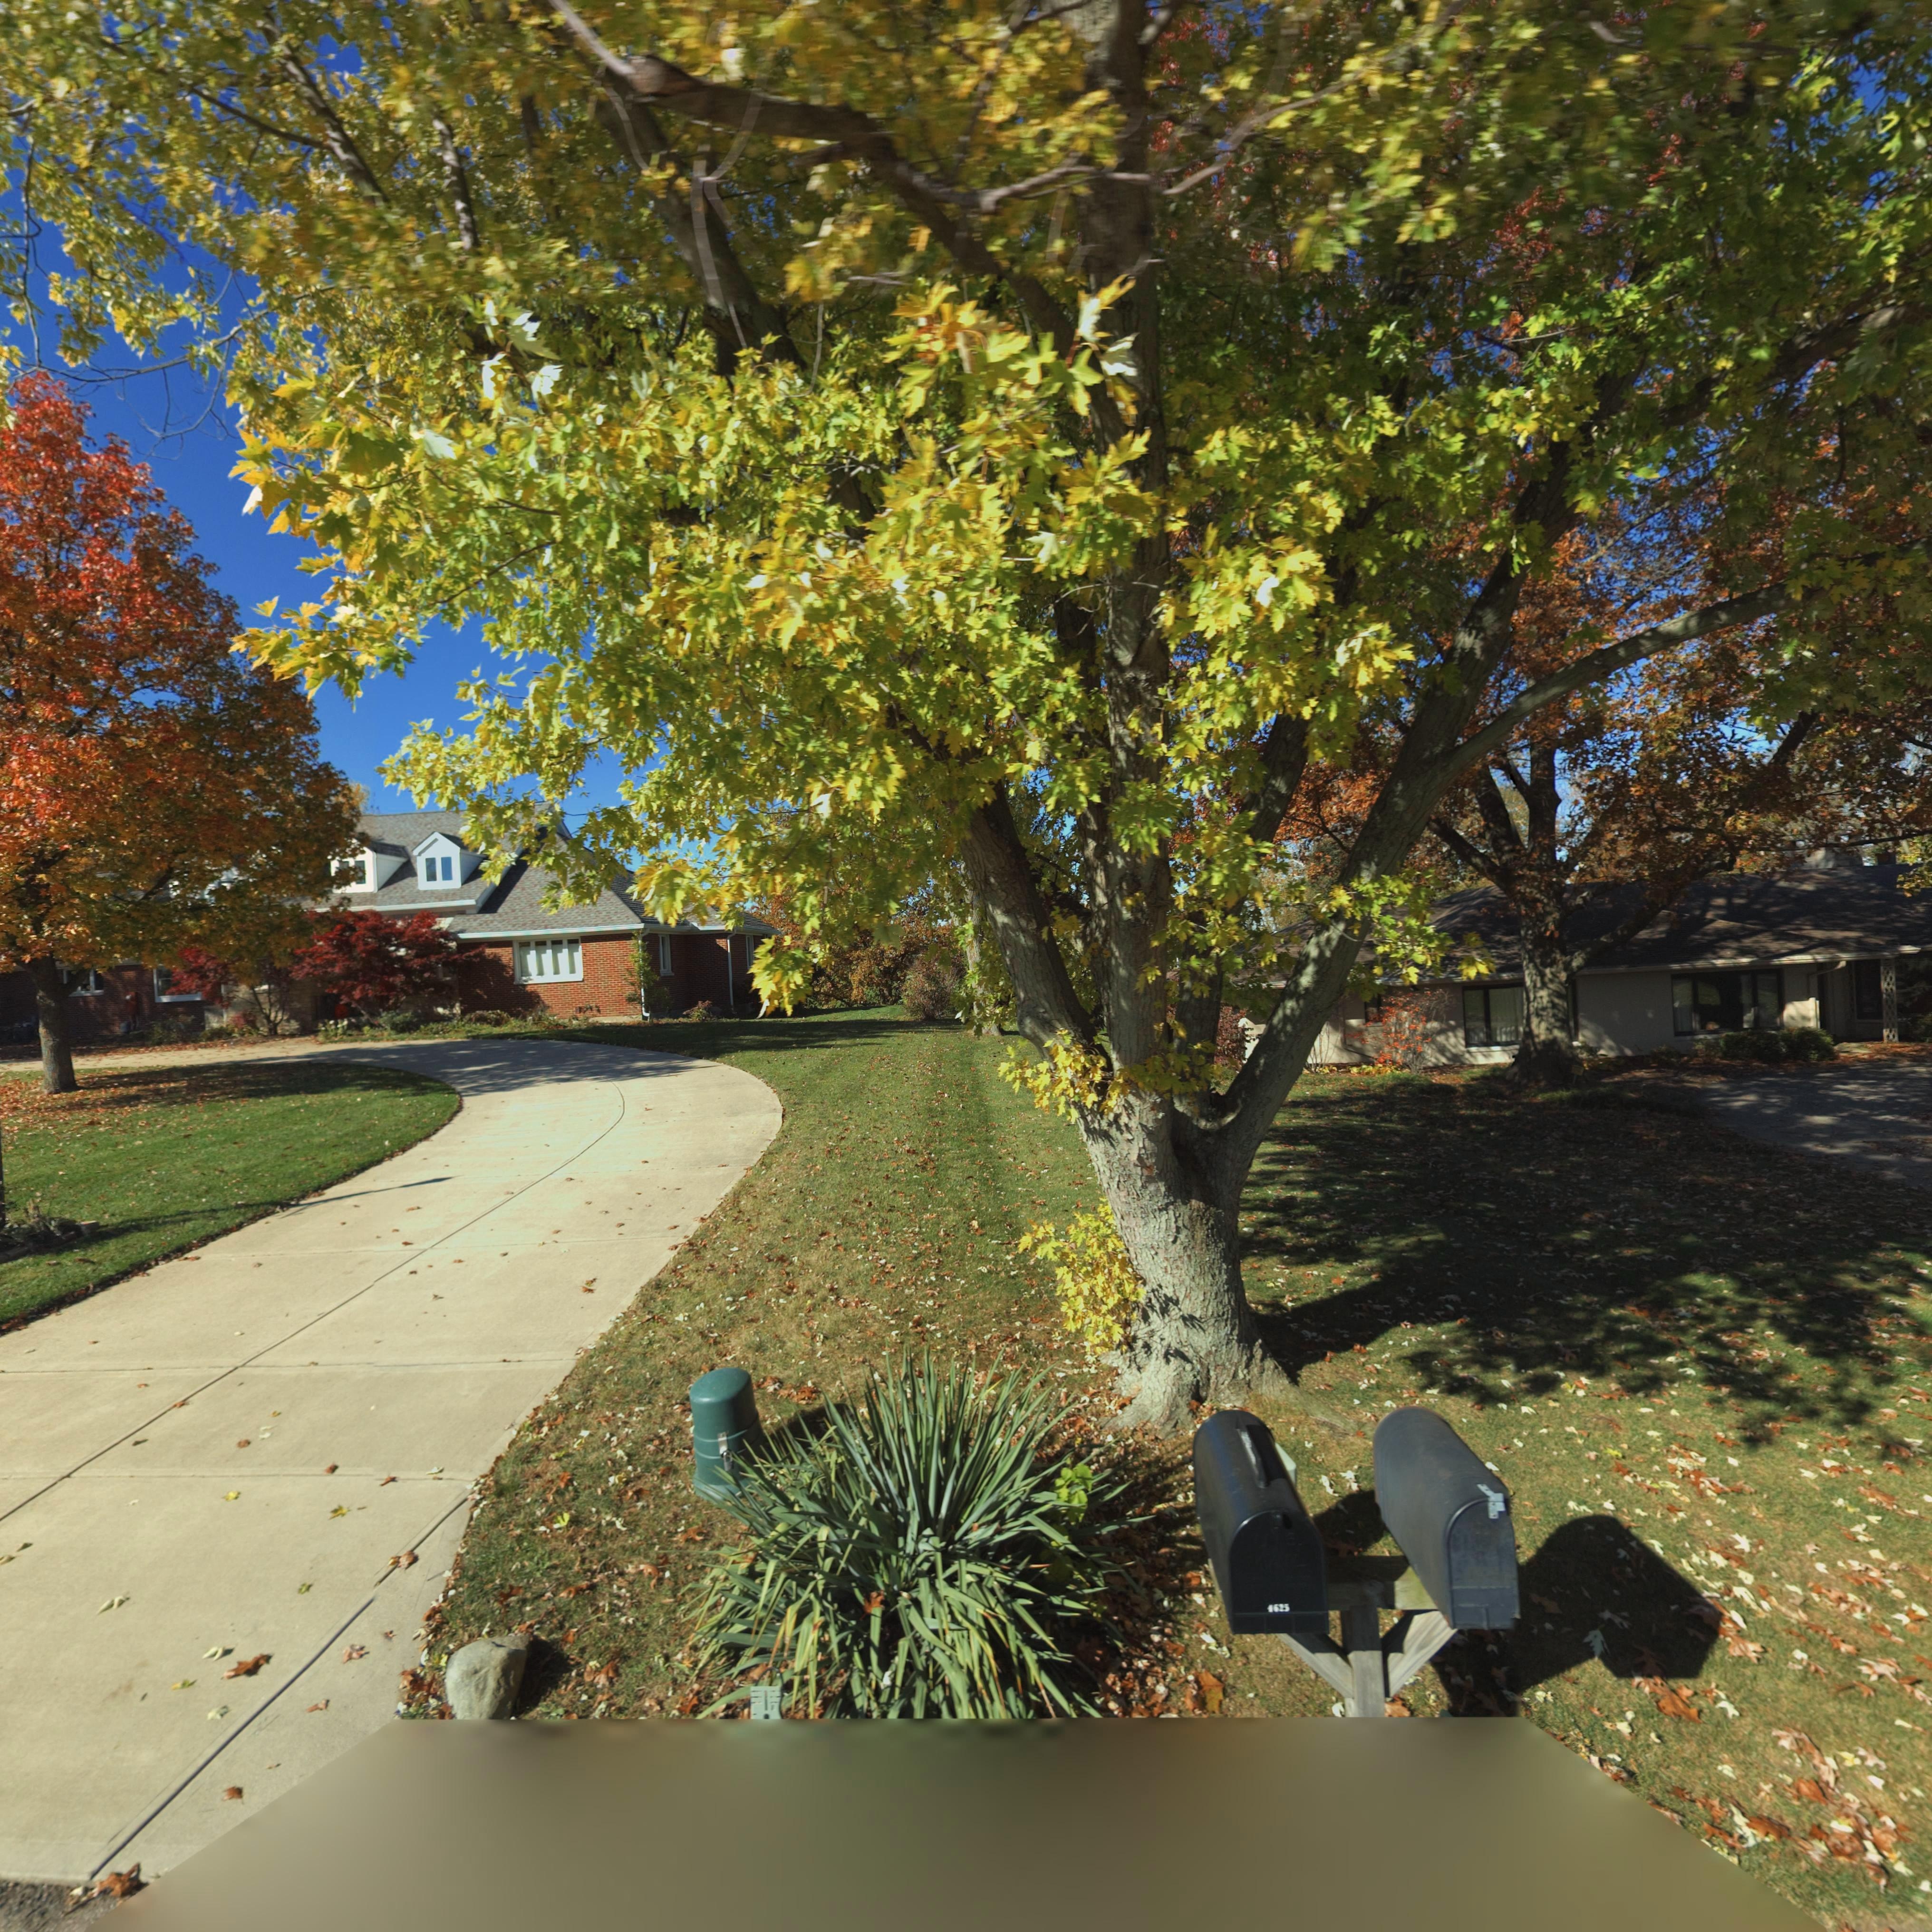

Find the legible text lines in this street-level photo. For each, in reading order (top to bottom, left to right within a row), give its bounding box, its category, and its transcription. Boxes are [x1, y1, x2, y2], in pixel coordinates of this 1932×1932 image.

[1265, 1603, 1291, 1613] StreetNumber: 4625